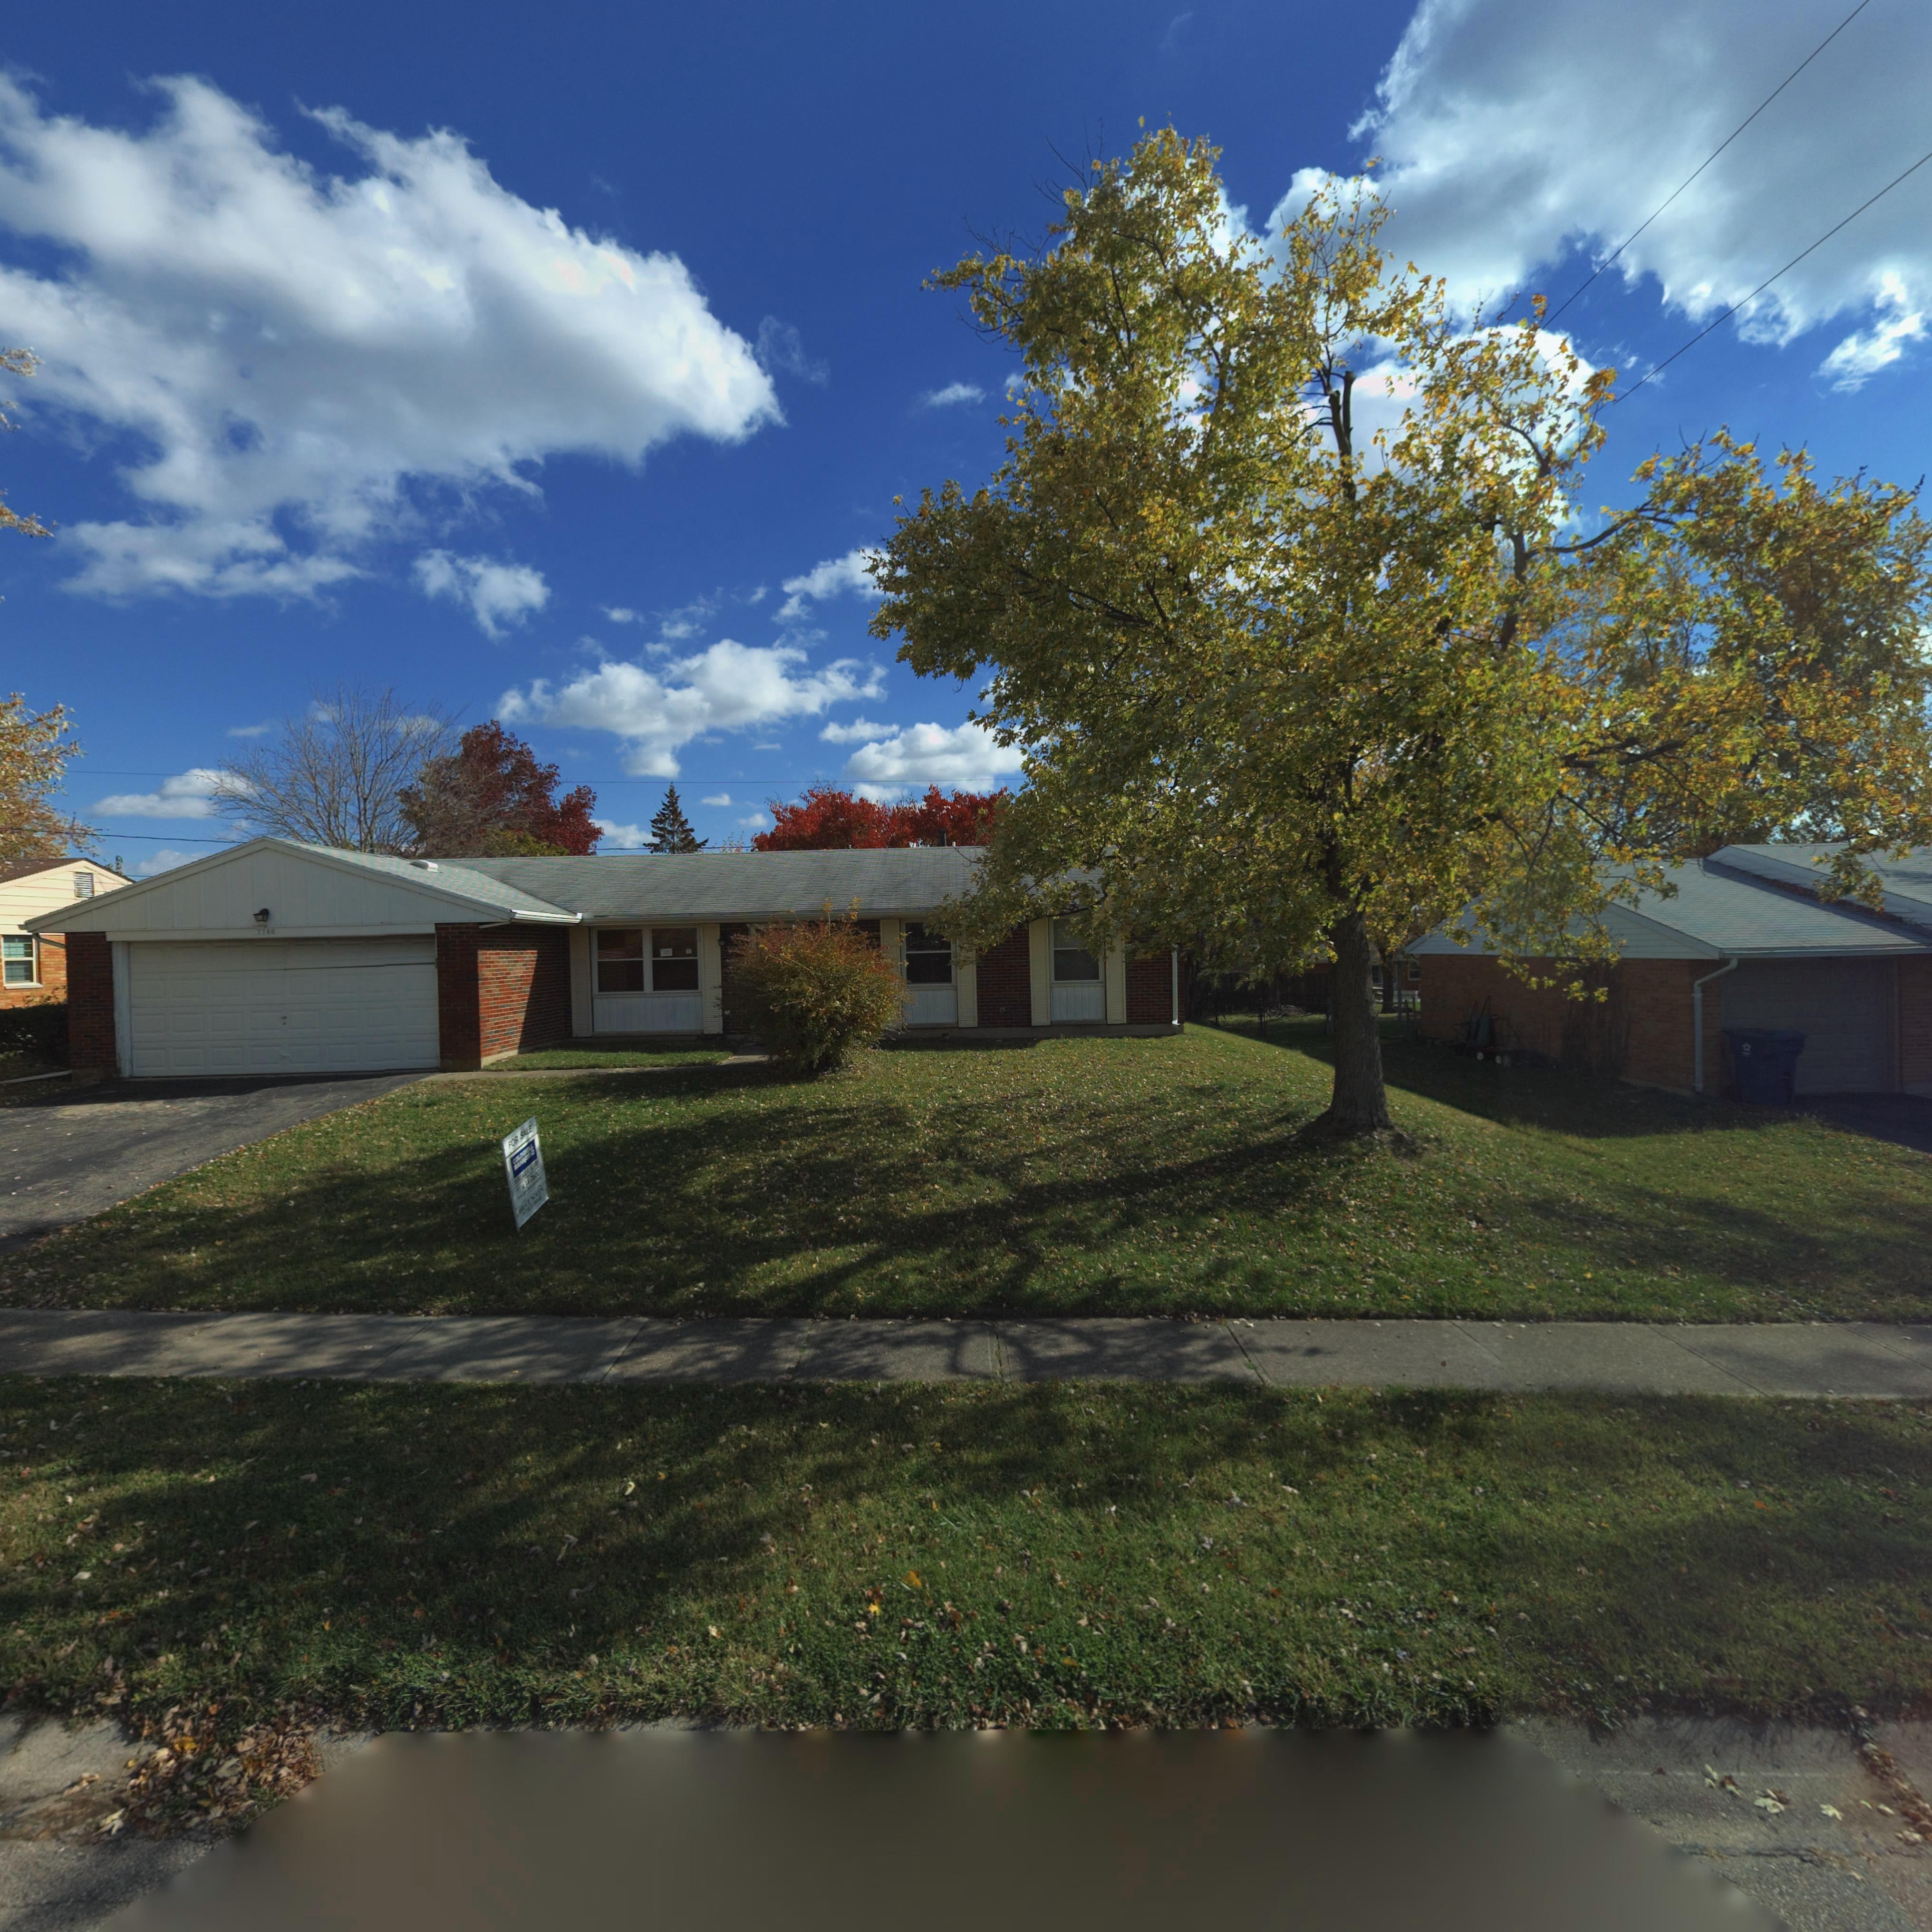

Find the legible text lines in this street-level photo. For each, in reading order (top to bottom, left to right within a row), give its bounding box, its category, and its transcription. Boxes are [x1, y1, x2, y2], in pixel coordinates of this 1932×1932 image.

[257, 928, 275, 935] StreetNumber: 7740